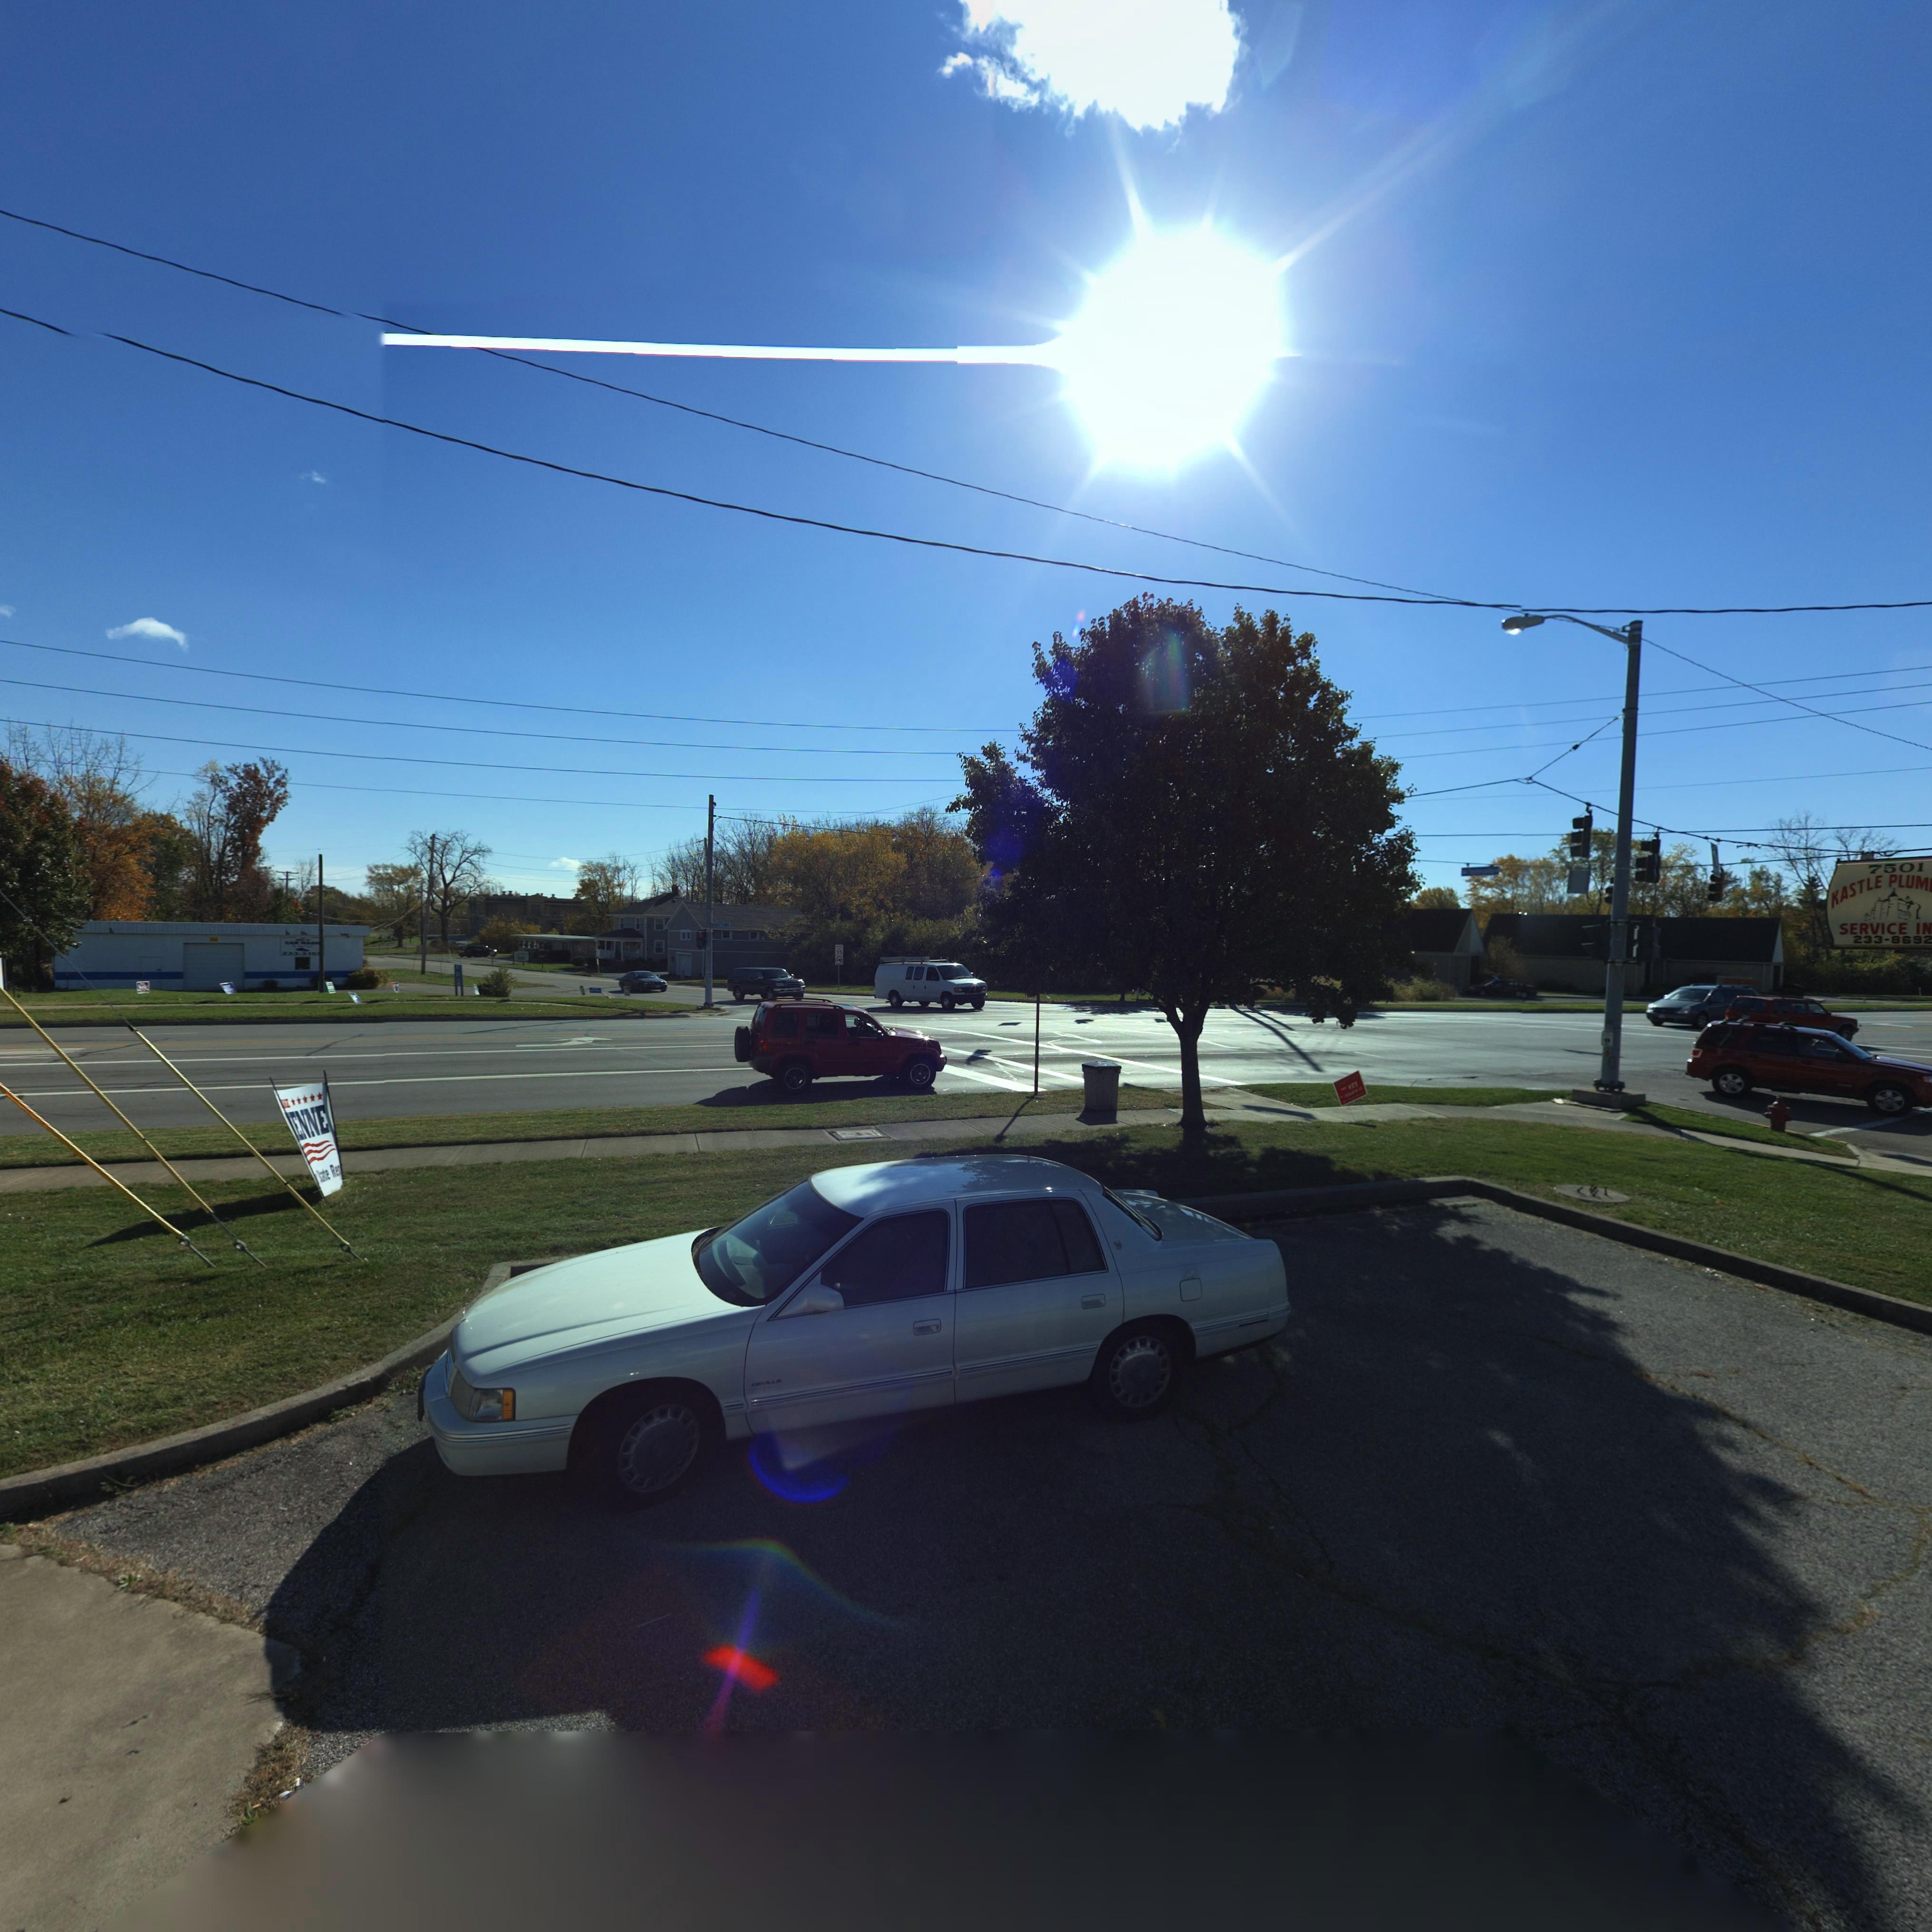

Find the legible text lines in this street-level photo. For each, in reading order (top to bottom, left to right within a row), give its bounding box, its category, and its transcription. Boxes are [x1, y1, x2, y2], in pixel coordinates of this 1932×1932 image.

[1868, 861, 1925, 875] StreetNumber: 7501
[1830, 873, 1930, 910] BusinessName: KASTLE PLUM
[1839, 922, 1932, 936] BusinessName: SERVICE IN